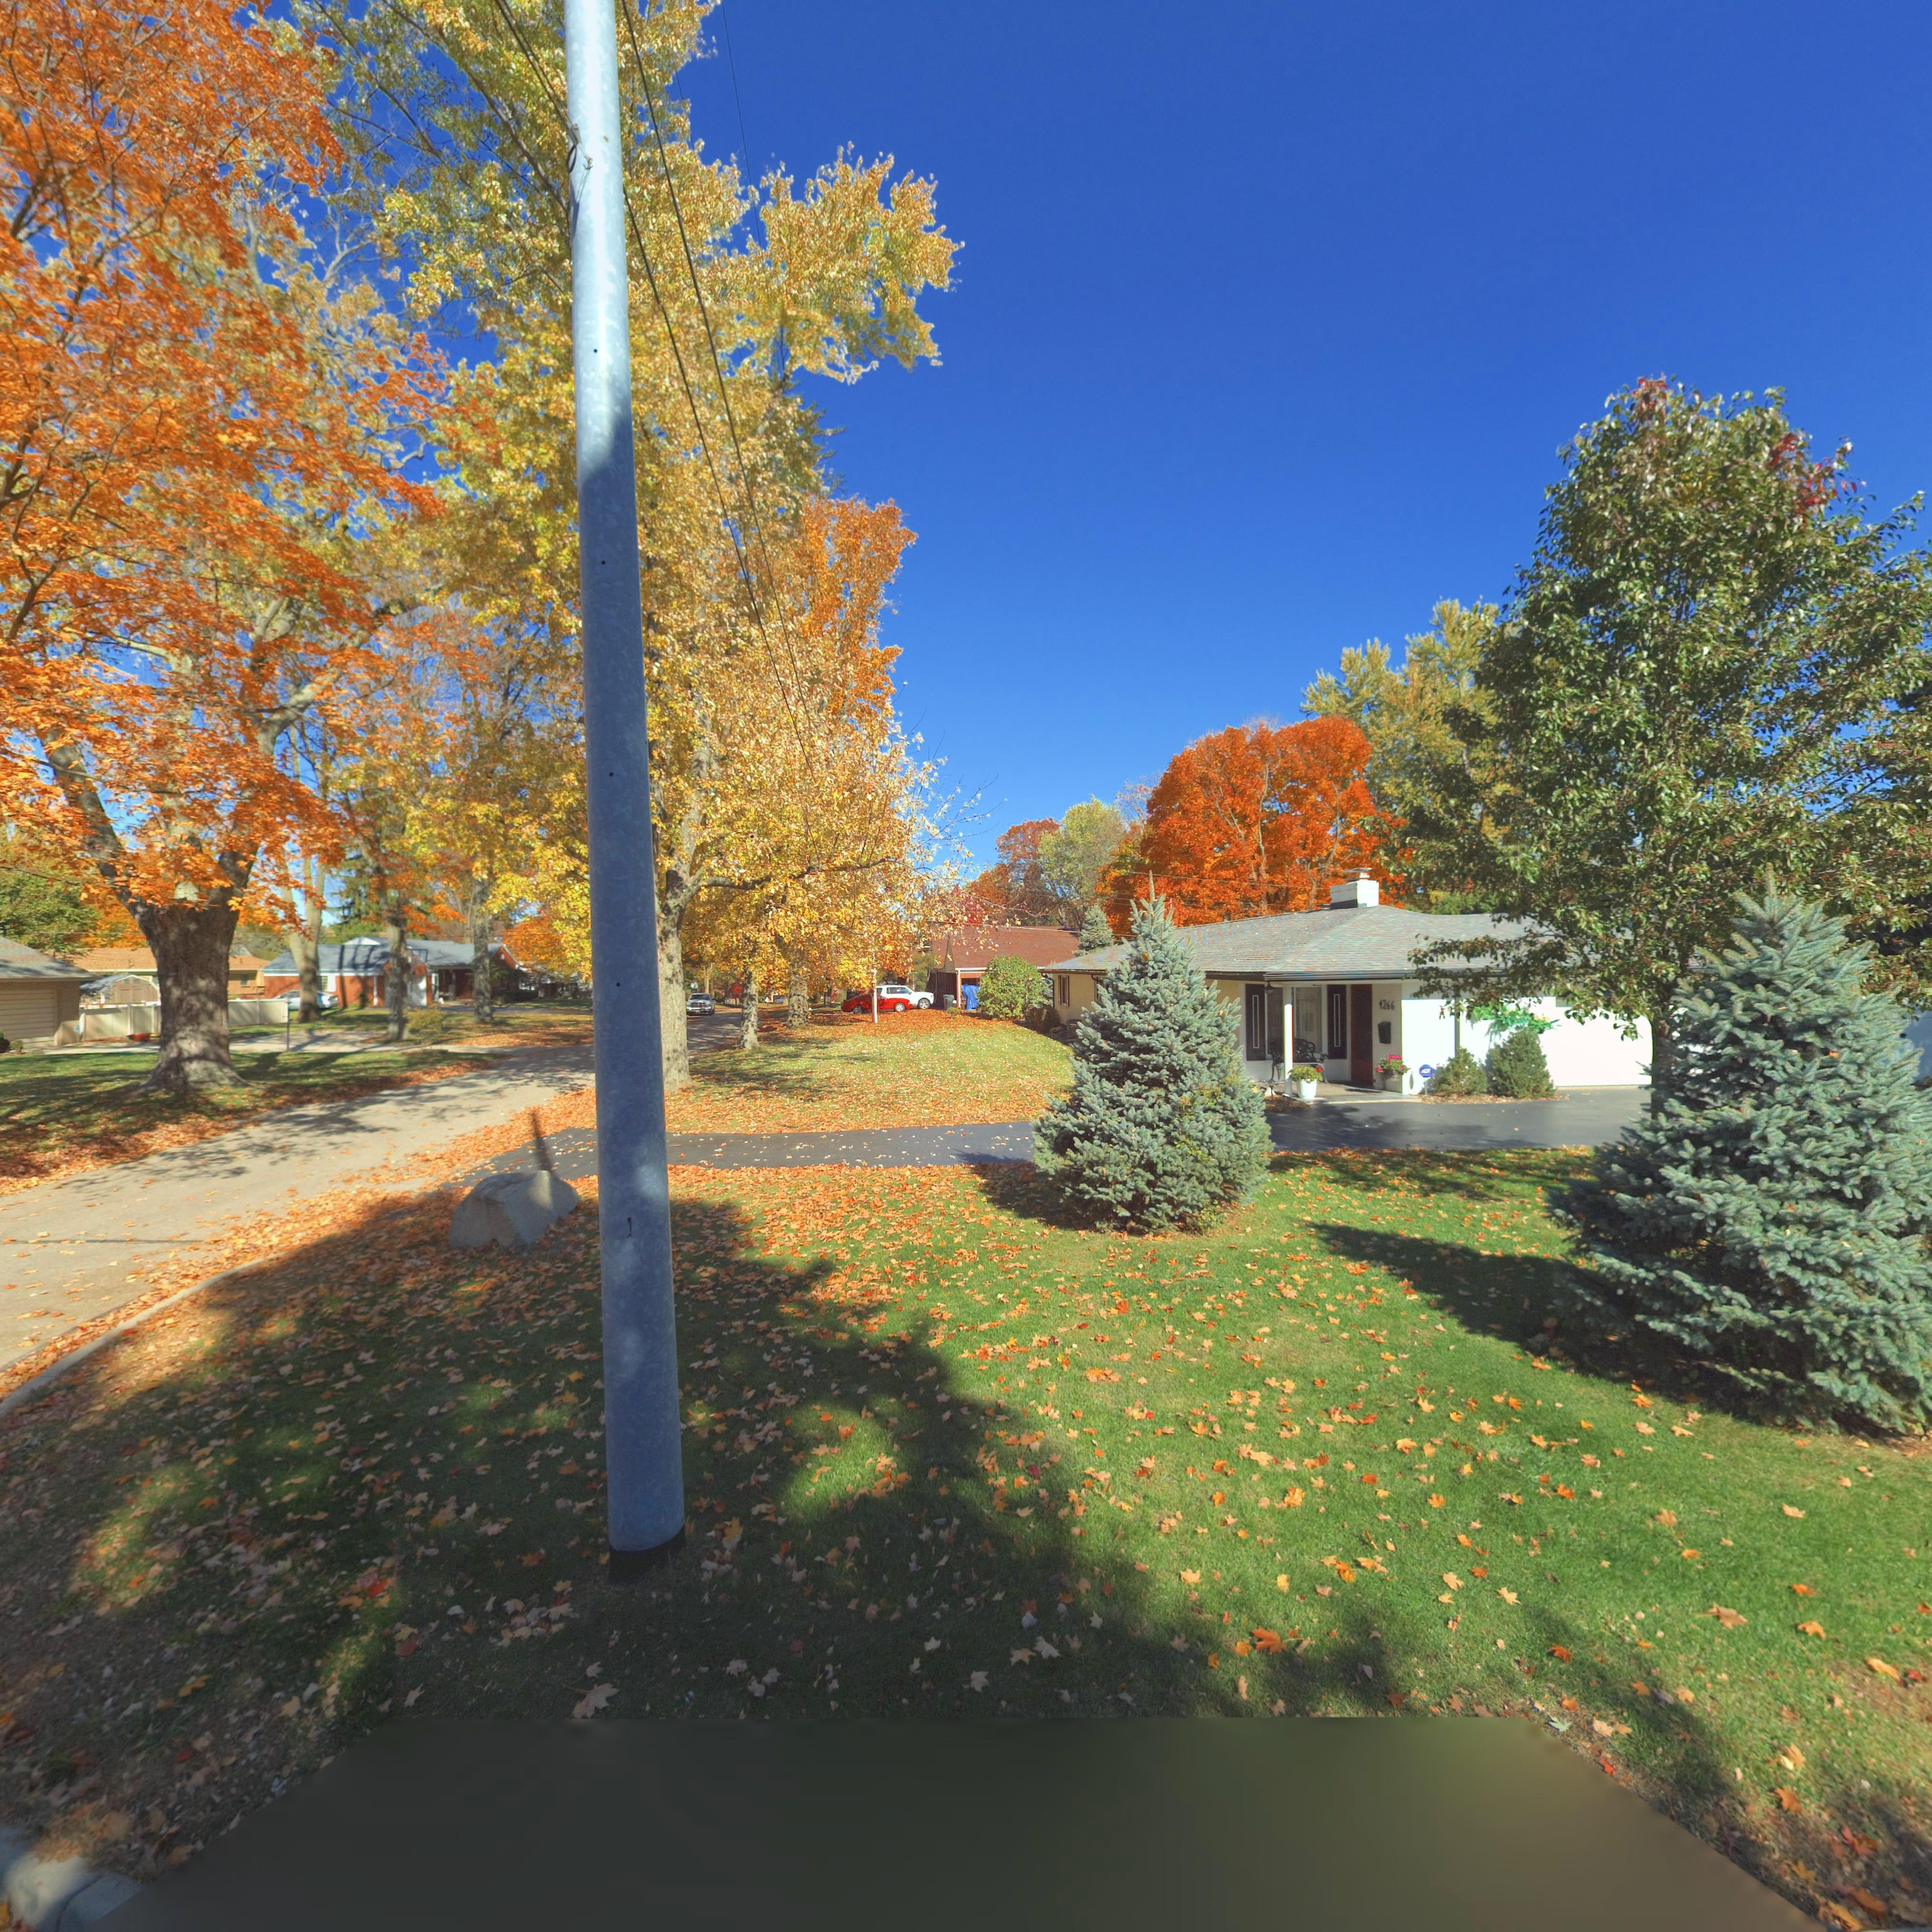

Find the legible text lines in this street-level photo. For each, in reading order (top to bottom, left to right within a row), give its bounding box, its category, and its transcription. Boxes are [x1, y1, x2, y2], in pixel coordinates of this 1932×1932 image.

[1378, 999, 1395, 1011] StreetNumber: 4266